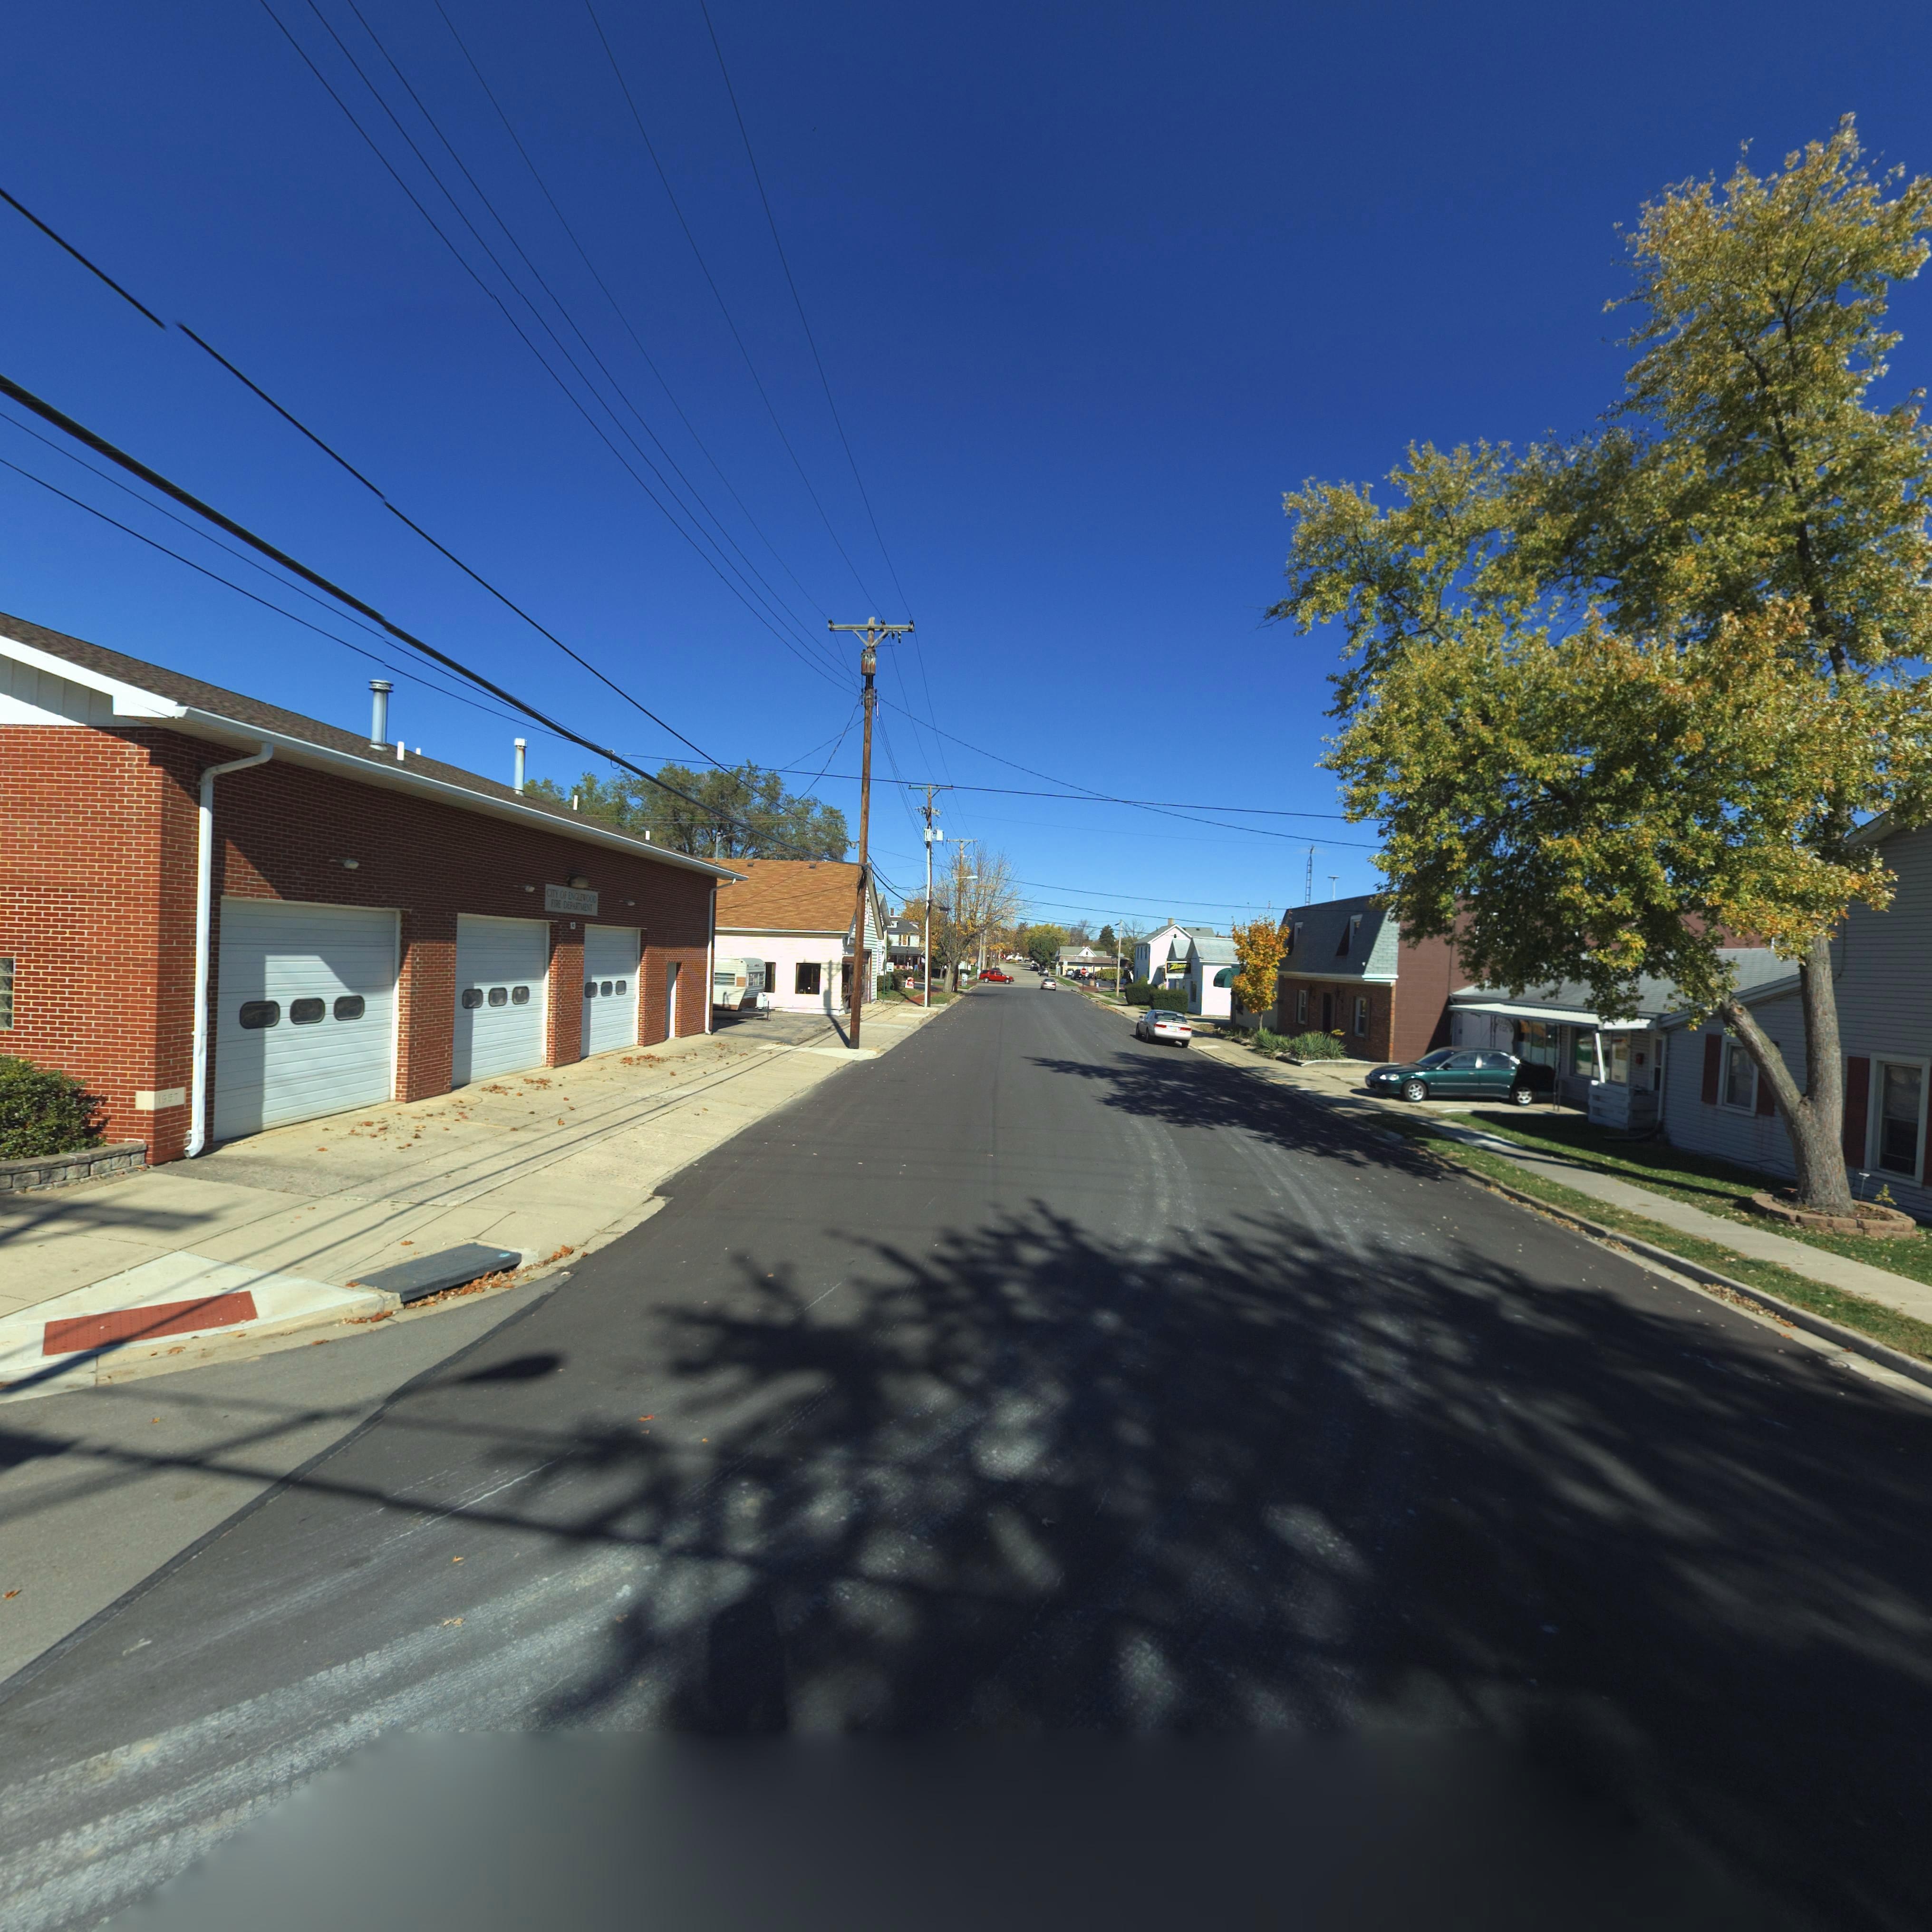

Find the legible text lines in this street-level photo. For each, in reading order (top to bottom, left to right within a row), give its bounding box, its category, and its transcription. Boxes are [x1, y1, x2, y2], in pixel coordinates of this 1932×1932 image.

[546, 888, 598, 904] BusinessName: CITY OF ENGLEWOOD
[550, 898, 593, 912] BusinessName: FIRE DEPARTMENT
[570, 921, 576, 930] StreetNumber: 13